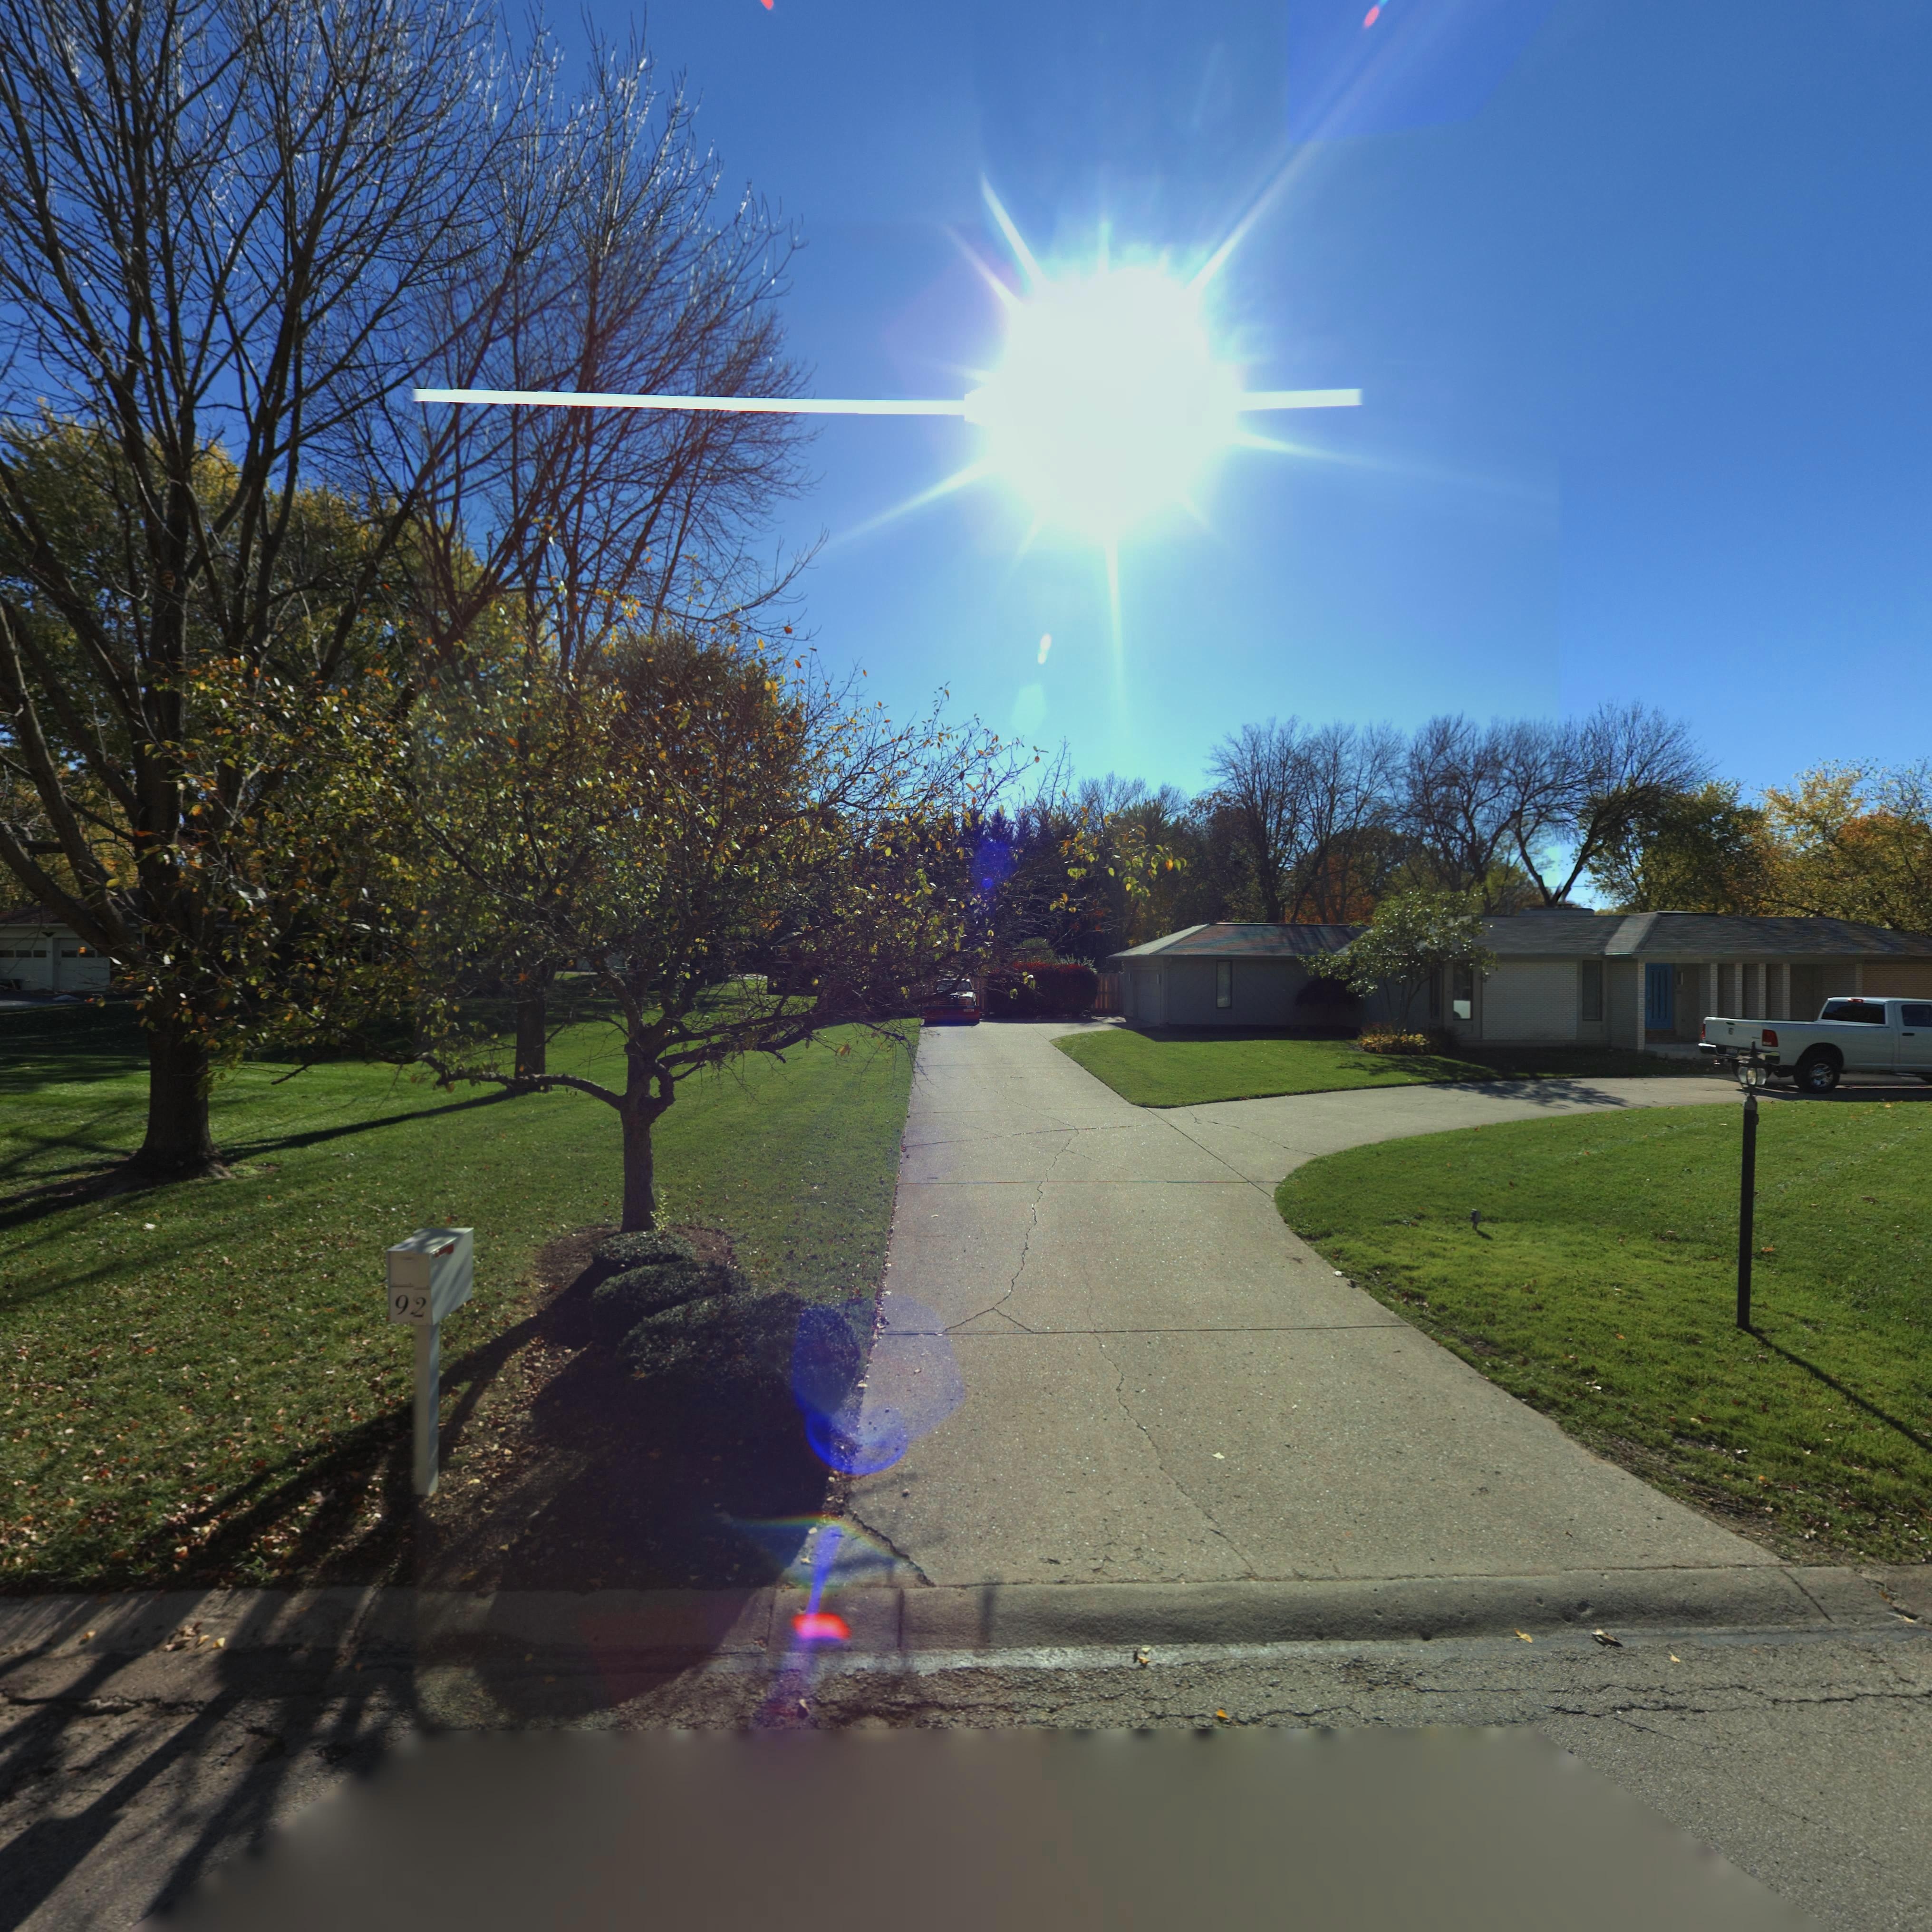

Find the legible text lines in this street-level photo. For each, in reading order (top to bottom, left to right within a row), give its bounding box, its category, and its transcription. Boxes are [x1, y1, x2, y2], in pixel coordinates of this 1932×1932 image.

[395, 1294, 427, 1318] StreetNumber: 9*2